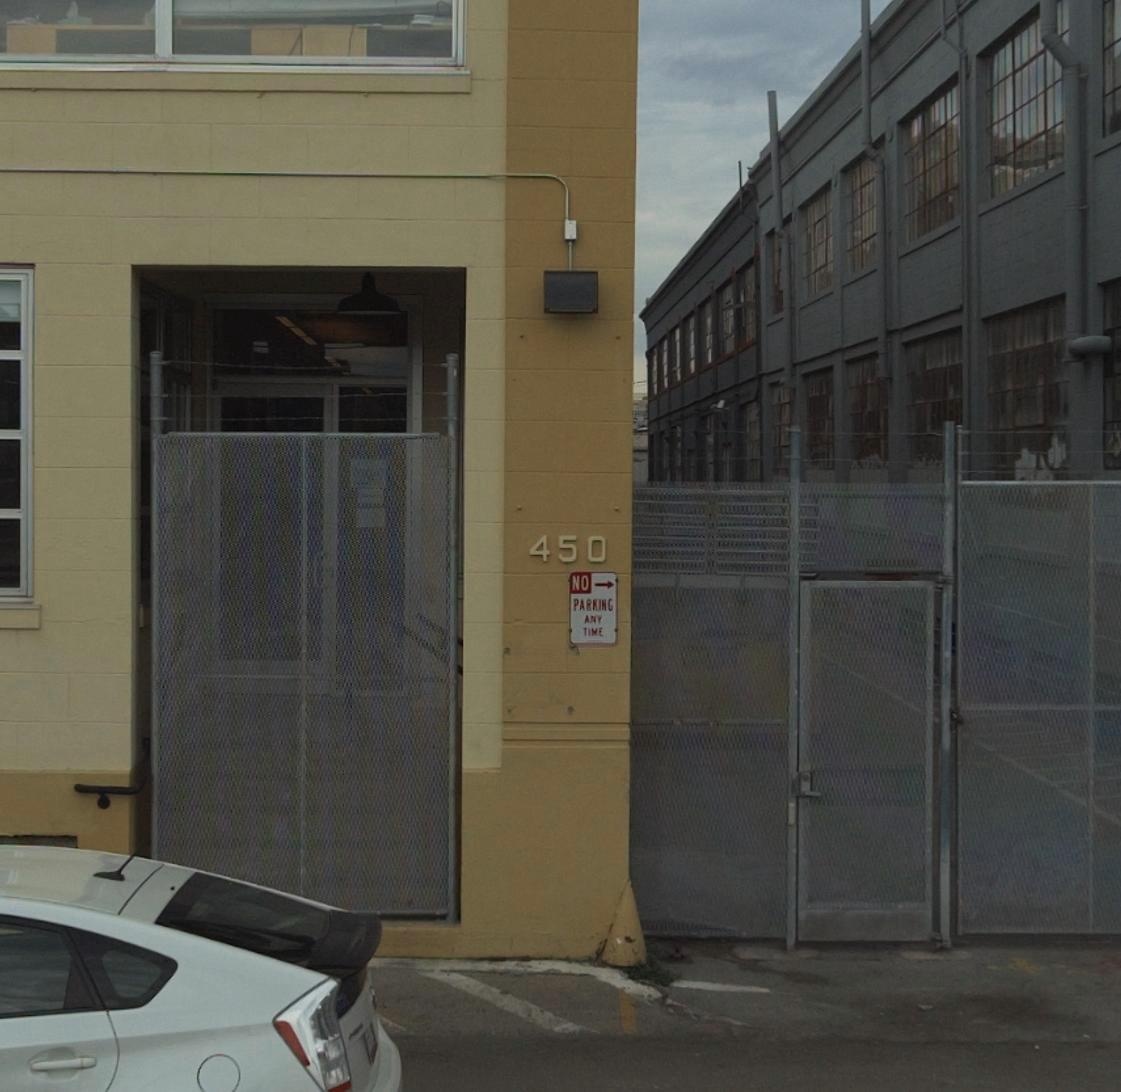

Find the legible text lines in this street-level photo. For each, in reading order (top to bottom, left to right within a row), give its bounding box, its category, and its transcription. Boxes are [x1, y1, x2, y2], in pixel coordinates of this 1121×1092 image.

[527, 532, 608, 566] StreetNumber: 450
[571, 573, 591, 592] None: NO
[571, 596, 615, 613] None: PARKING
[582, 613, 604, 626] None: ANY
[581, 625, 604, 638] None: TIME